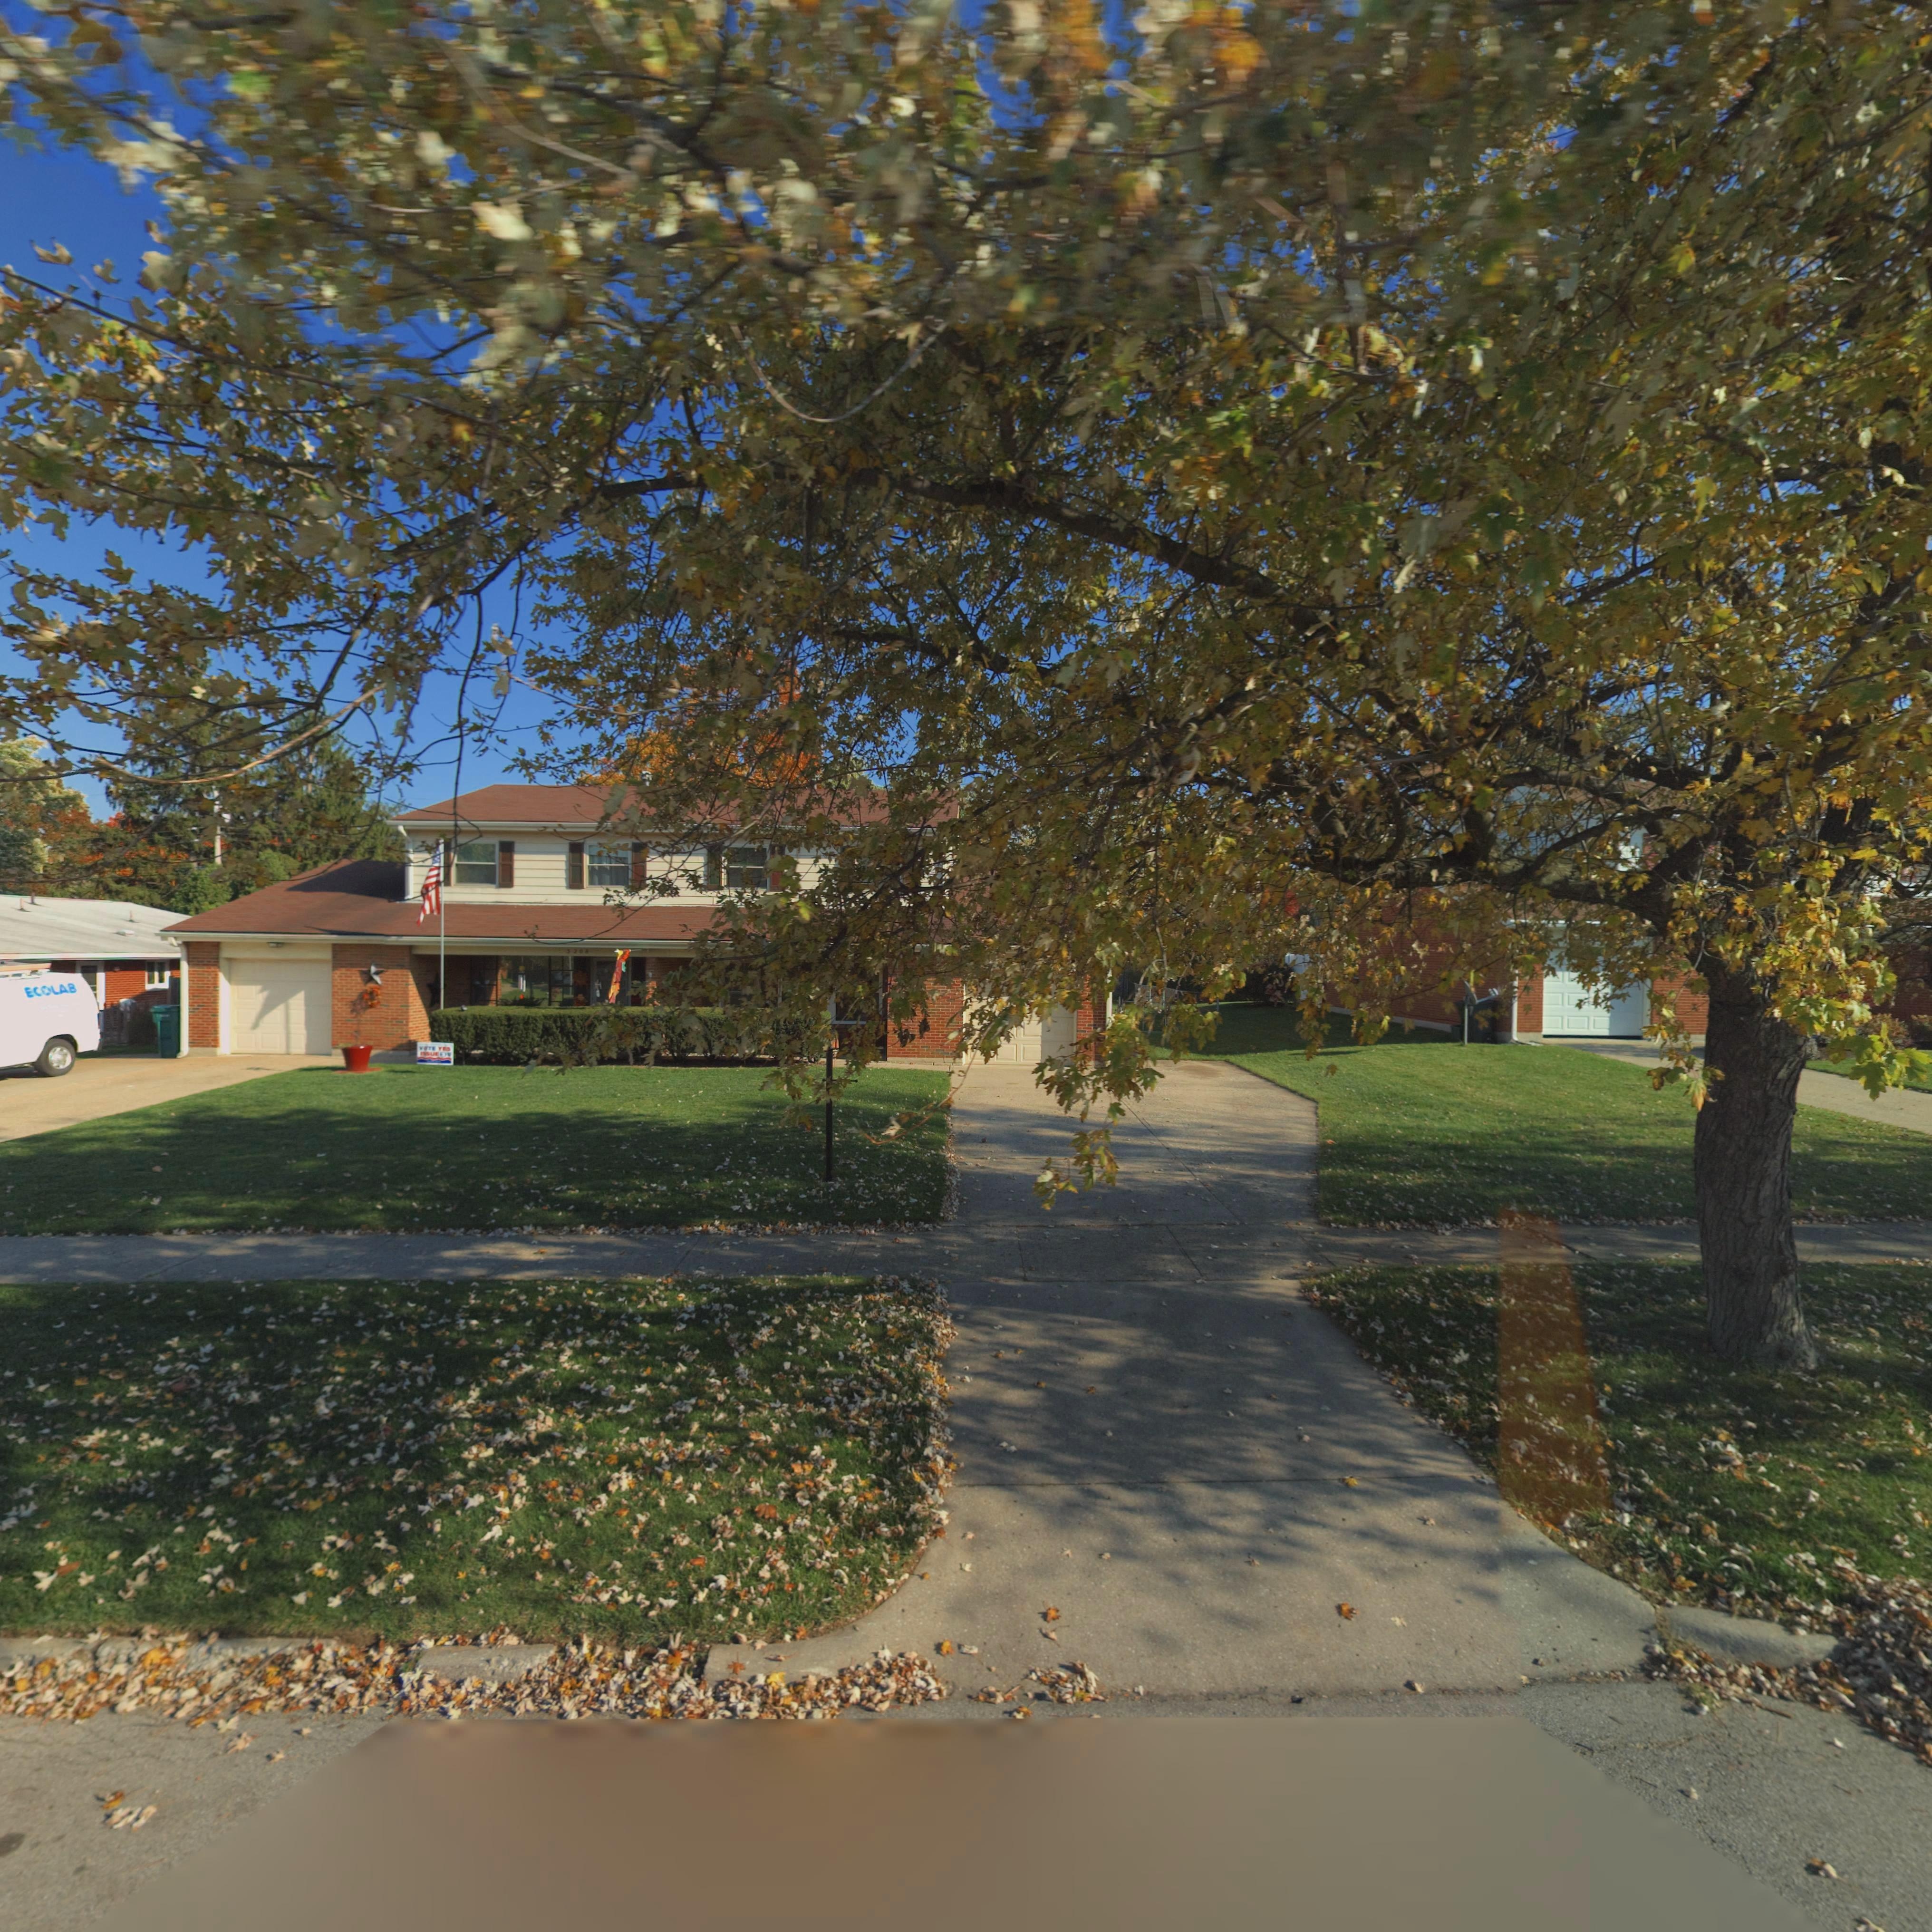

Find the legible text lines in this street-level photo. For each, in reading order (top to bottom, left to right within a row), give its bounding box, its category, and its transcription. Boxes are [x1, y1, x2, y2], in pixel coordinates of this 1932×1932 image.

[565, 948, 589, 954] StreetNumber: 3208